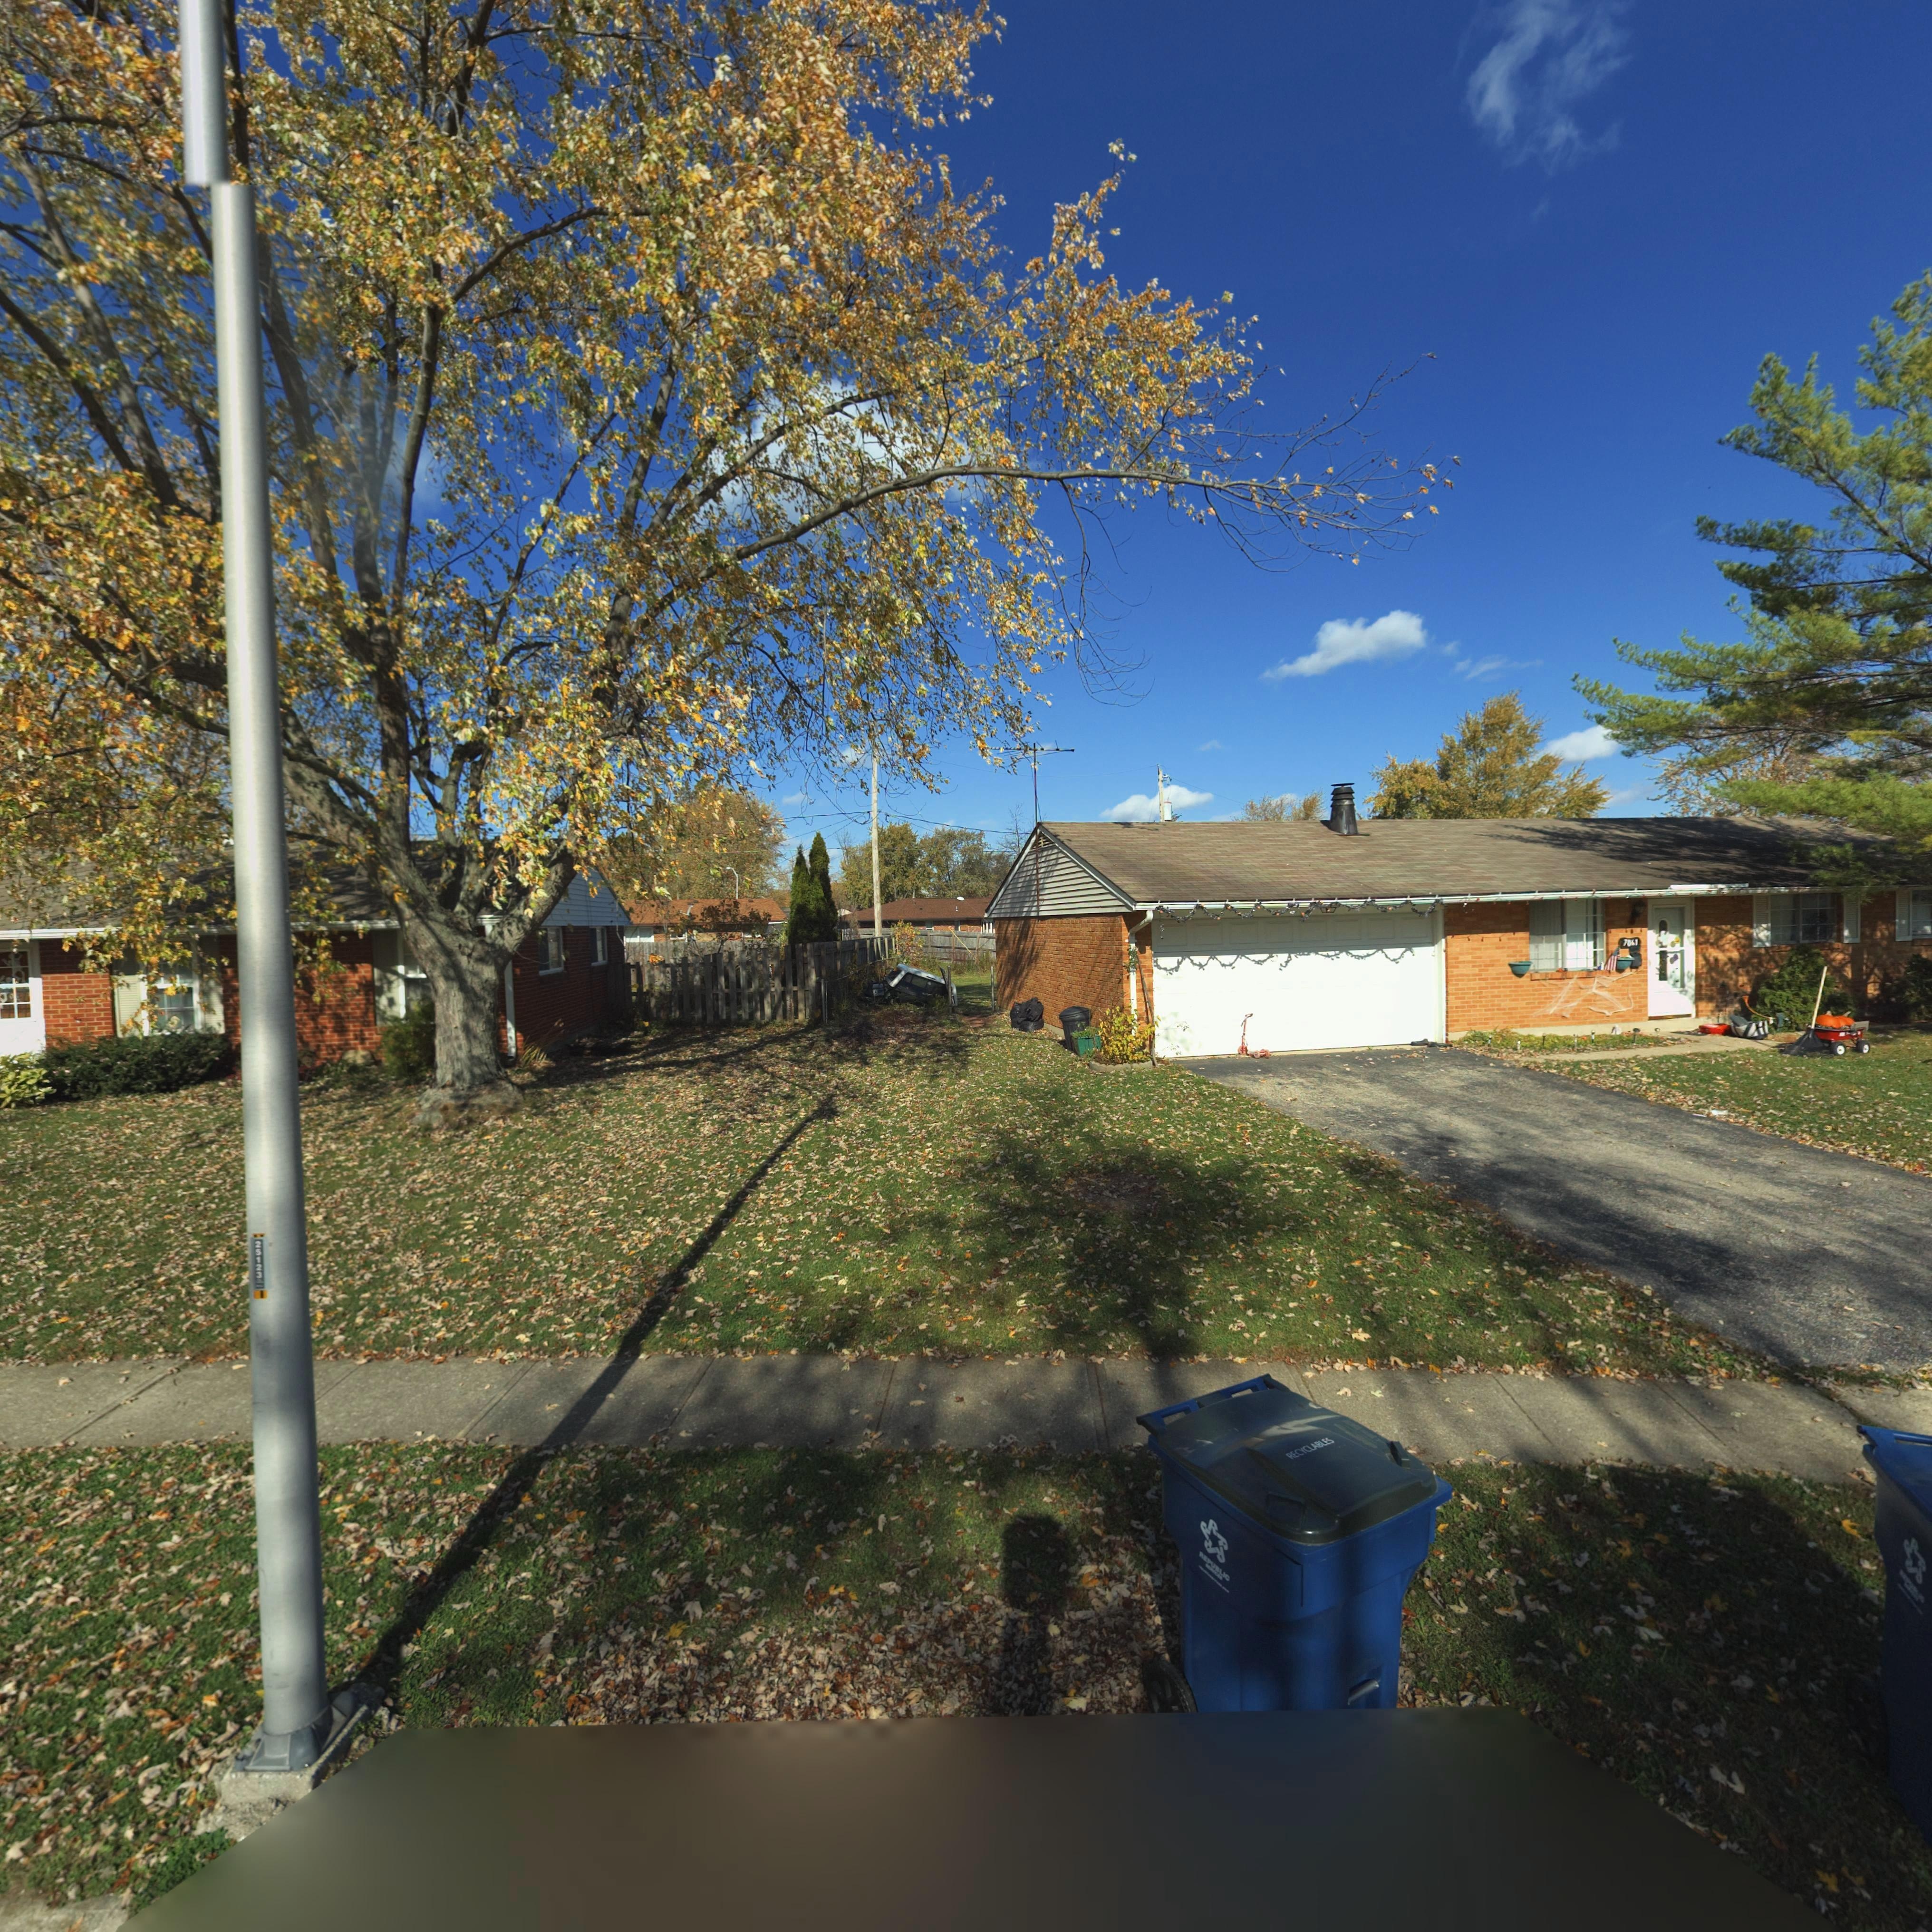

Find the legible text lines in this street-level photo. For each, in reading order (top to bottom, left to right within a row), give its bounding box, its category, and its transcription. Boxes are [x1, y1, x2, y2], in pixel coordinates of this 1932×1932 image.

[1622, 937, 1639, 947] StreetNumber: 70**